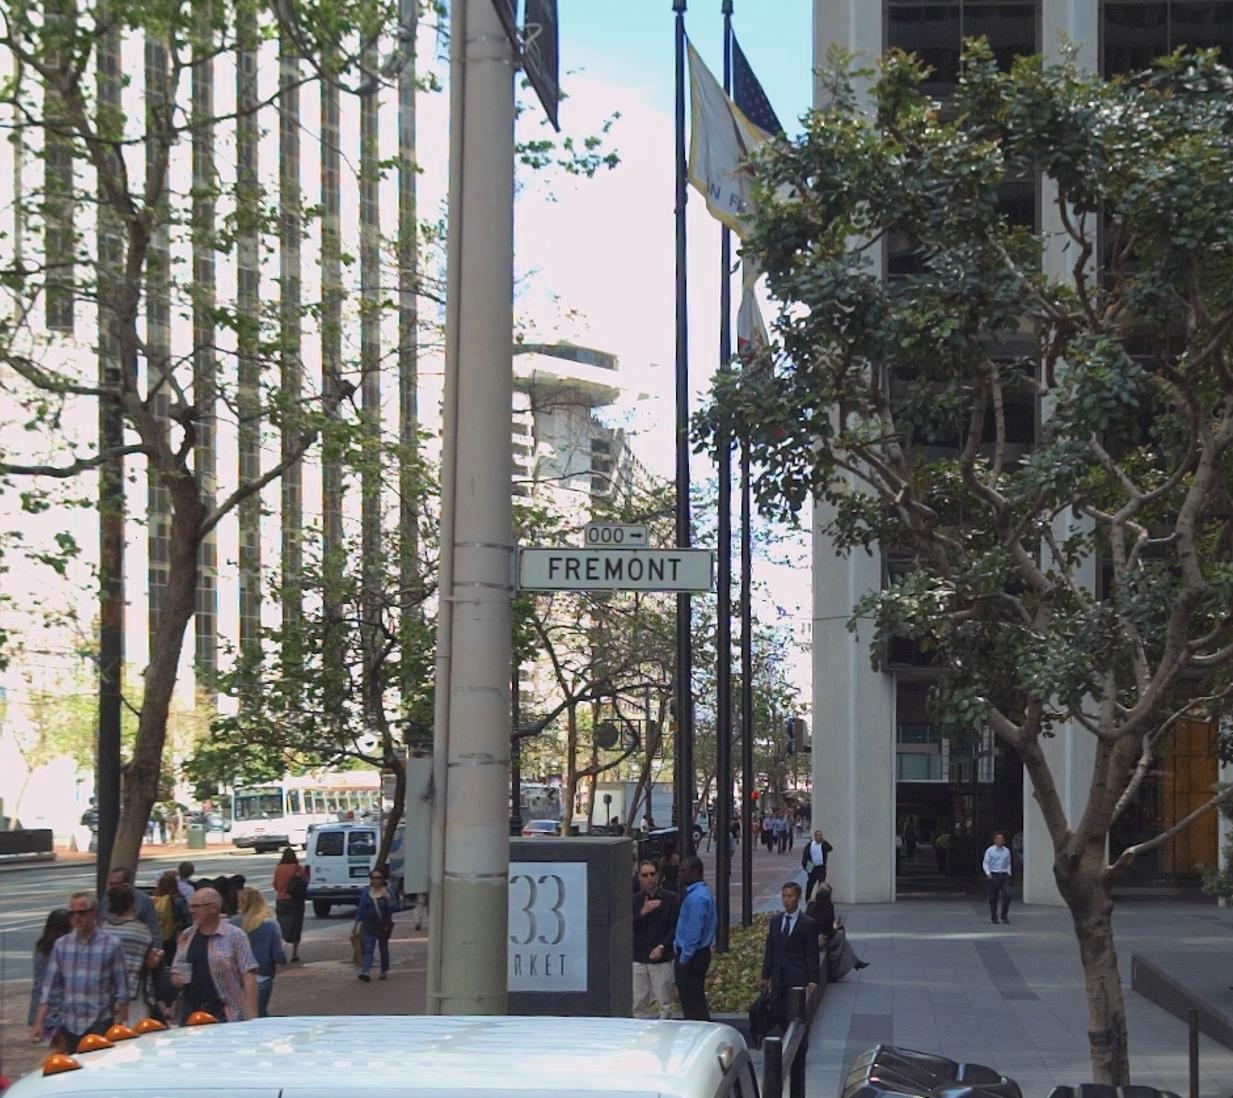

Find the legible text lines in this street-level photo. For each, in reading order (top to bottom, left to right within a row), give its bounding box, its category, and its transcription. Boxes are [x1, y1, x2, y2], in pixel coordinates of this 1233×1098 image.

[587, 525, 644, 545] StreetNumberRange: 000->
[547, 555, 683, 582] StreetName: FREMONT
[509, 872, 568, 947] StreetNumber: 33
[512, 951, 568, 979] StreetName: RKET